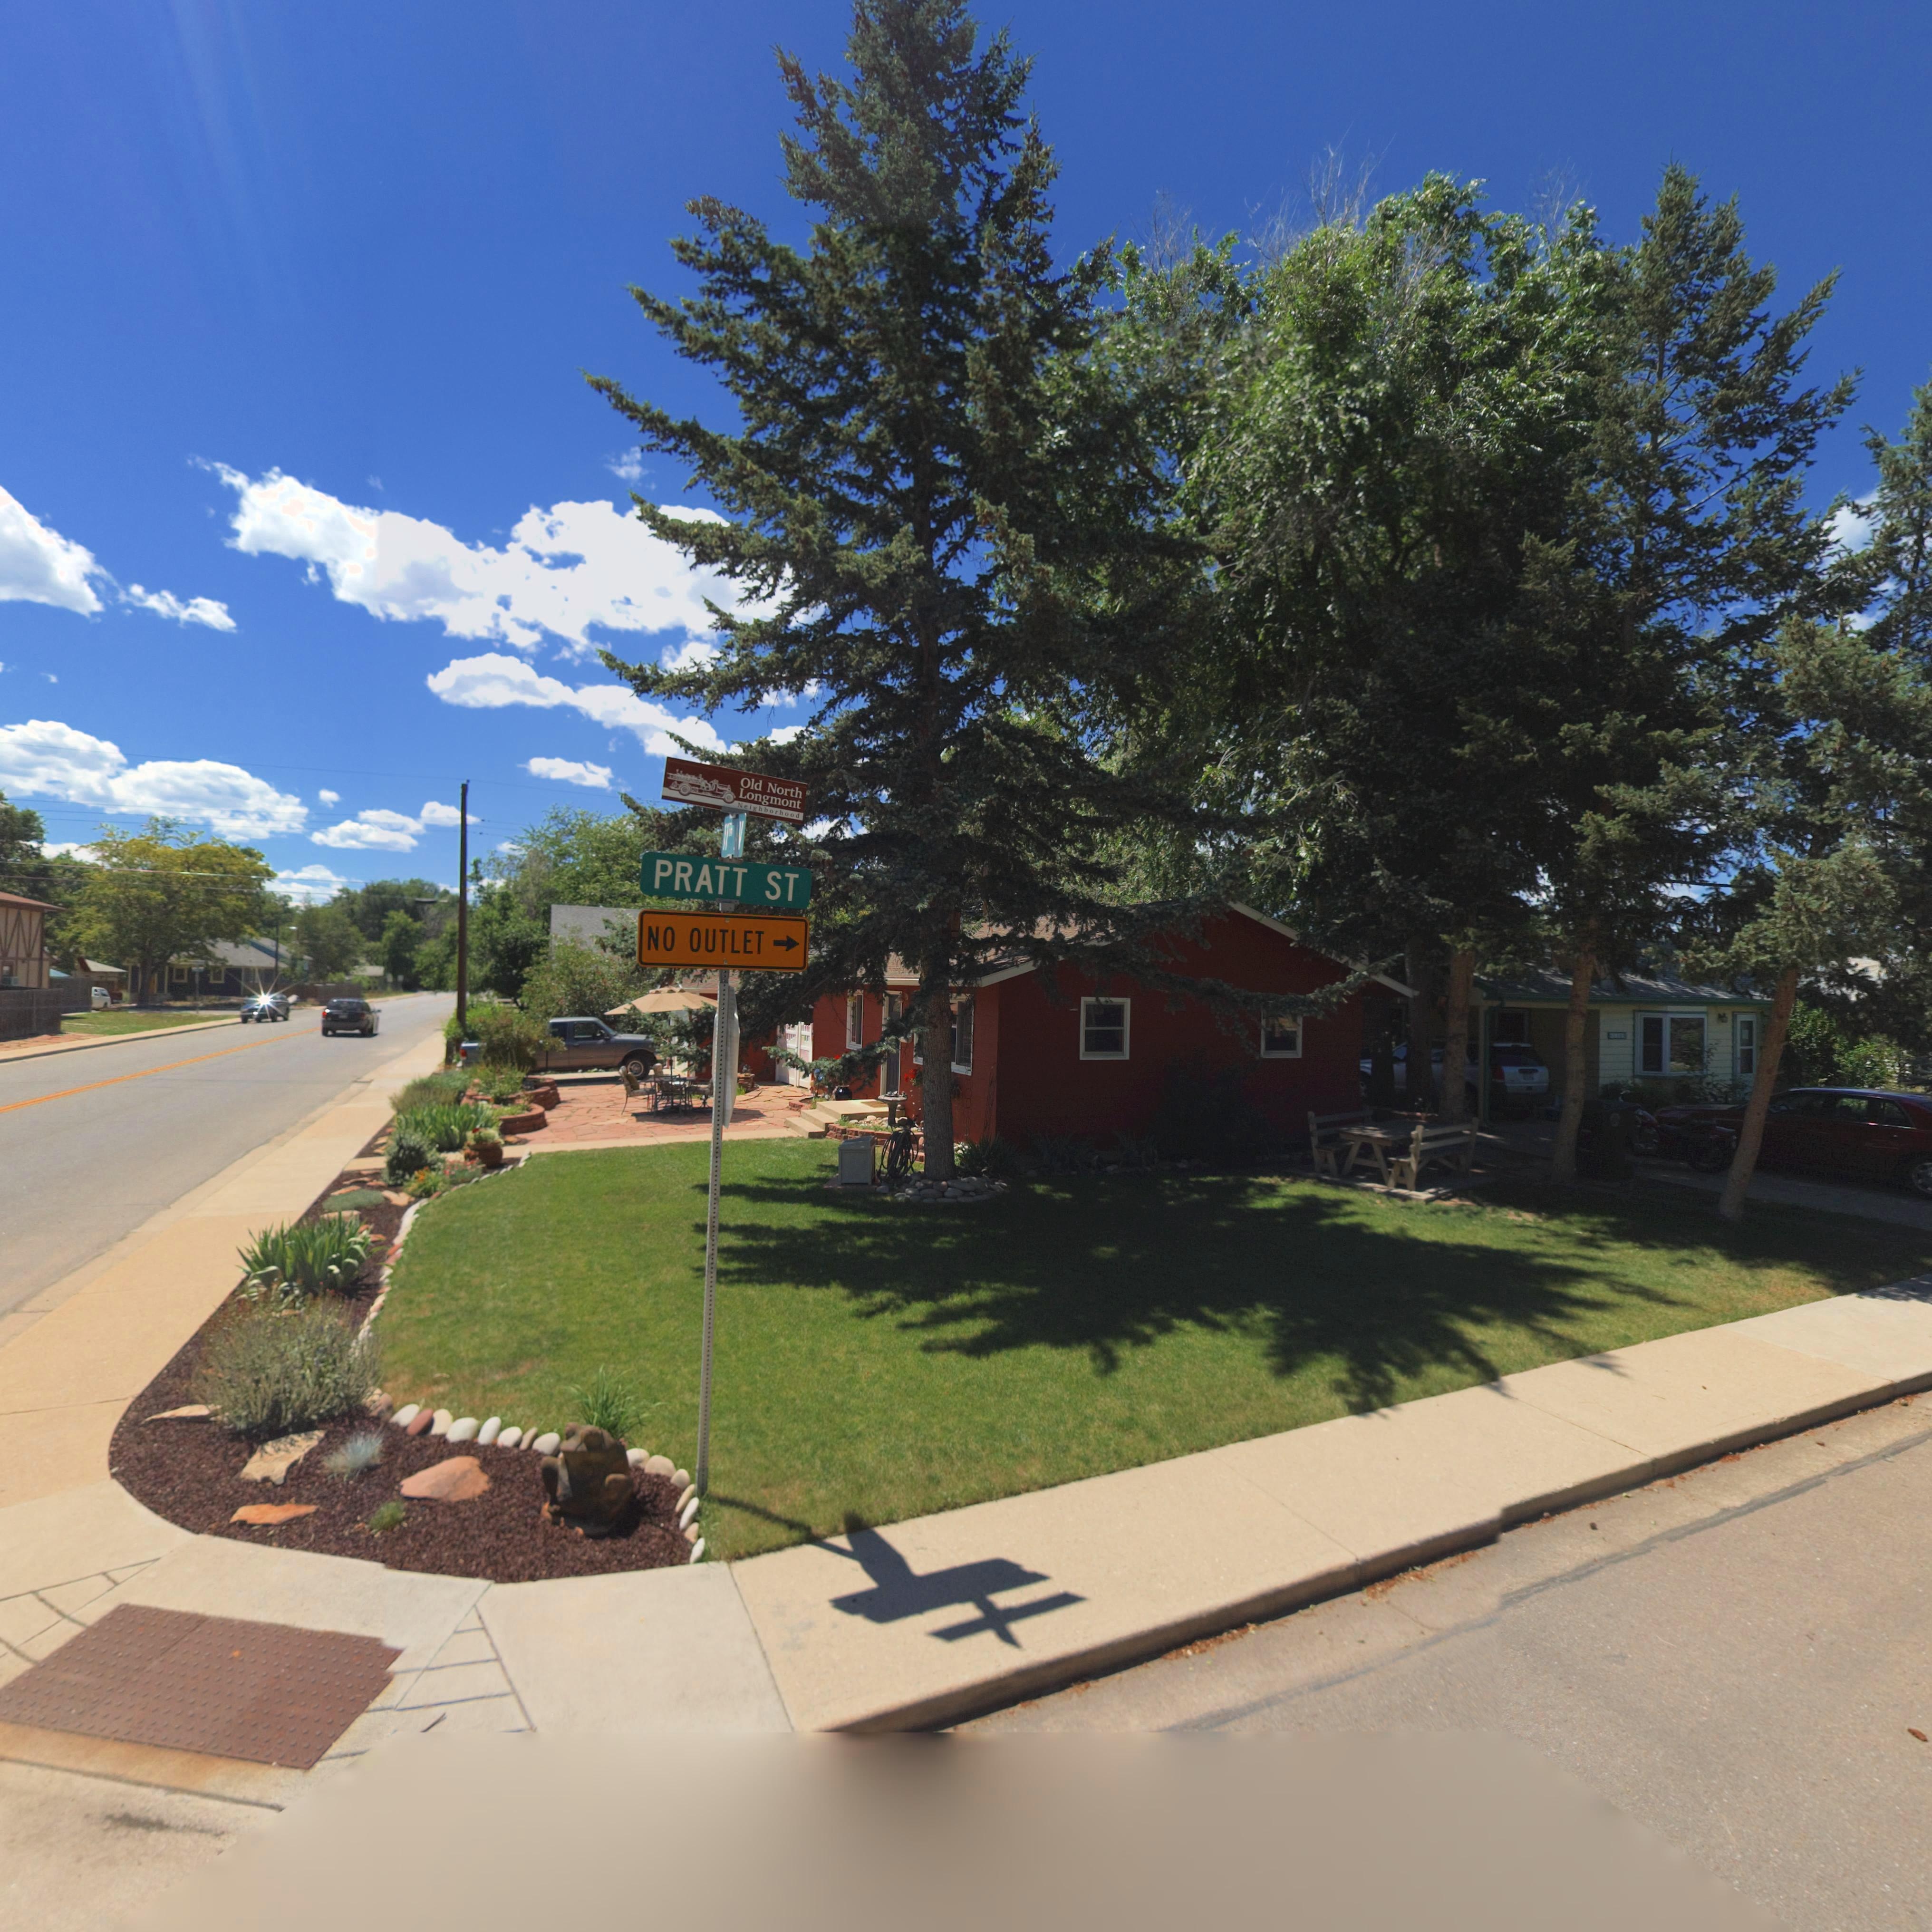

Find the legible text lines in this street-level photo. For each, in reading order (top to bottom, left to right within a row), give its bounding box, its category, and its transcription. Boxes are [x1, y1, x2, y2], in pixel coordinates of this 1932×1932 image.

[722, 820, 744, 850] StreetName: 11** AV
[653, 858, 800, 902] StreetName: PRATT ST